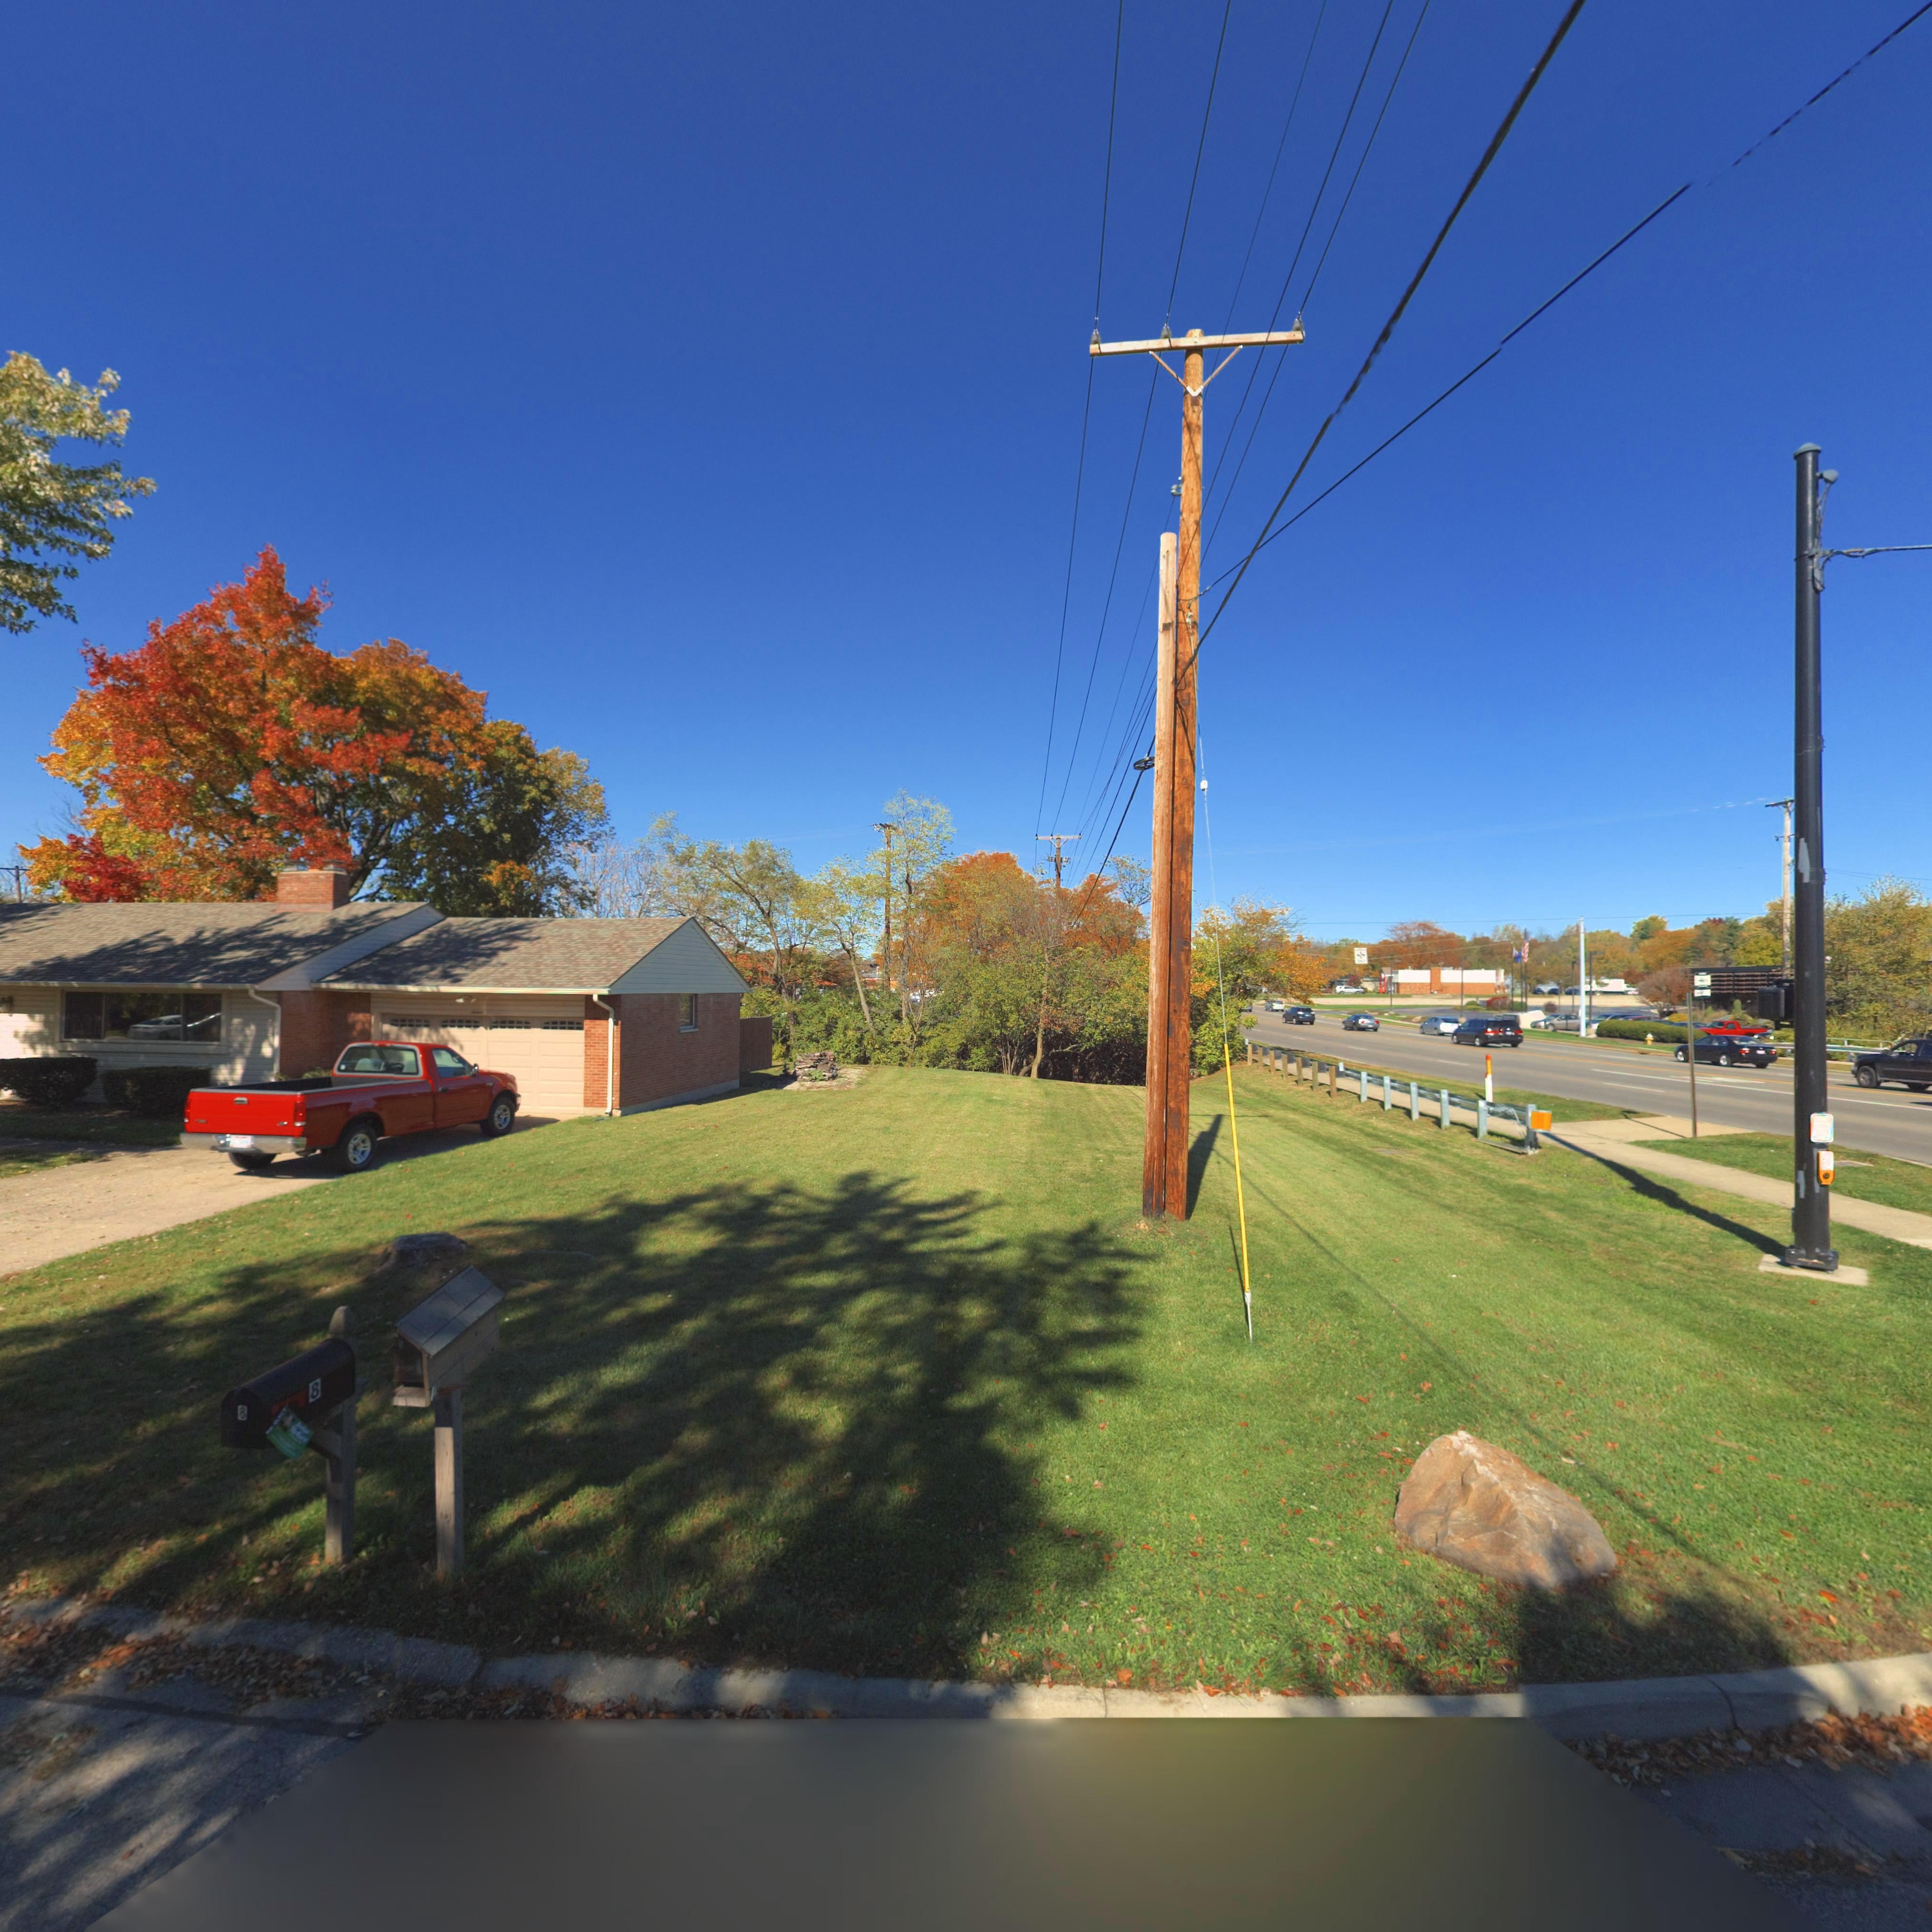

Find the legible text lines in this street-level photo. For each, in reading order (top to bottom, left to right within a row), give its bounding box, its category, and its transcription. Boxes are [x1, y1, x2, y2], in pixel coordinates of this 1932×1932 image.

[310, 1380, 320, 1401] StreetNumber: 8
[238, 1405, 247, 1420] StreetNumber: 8